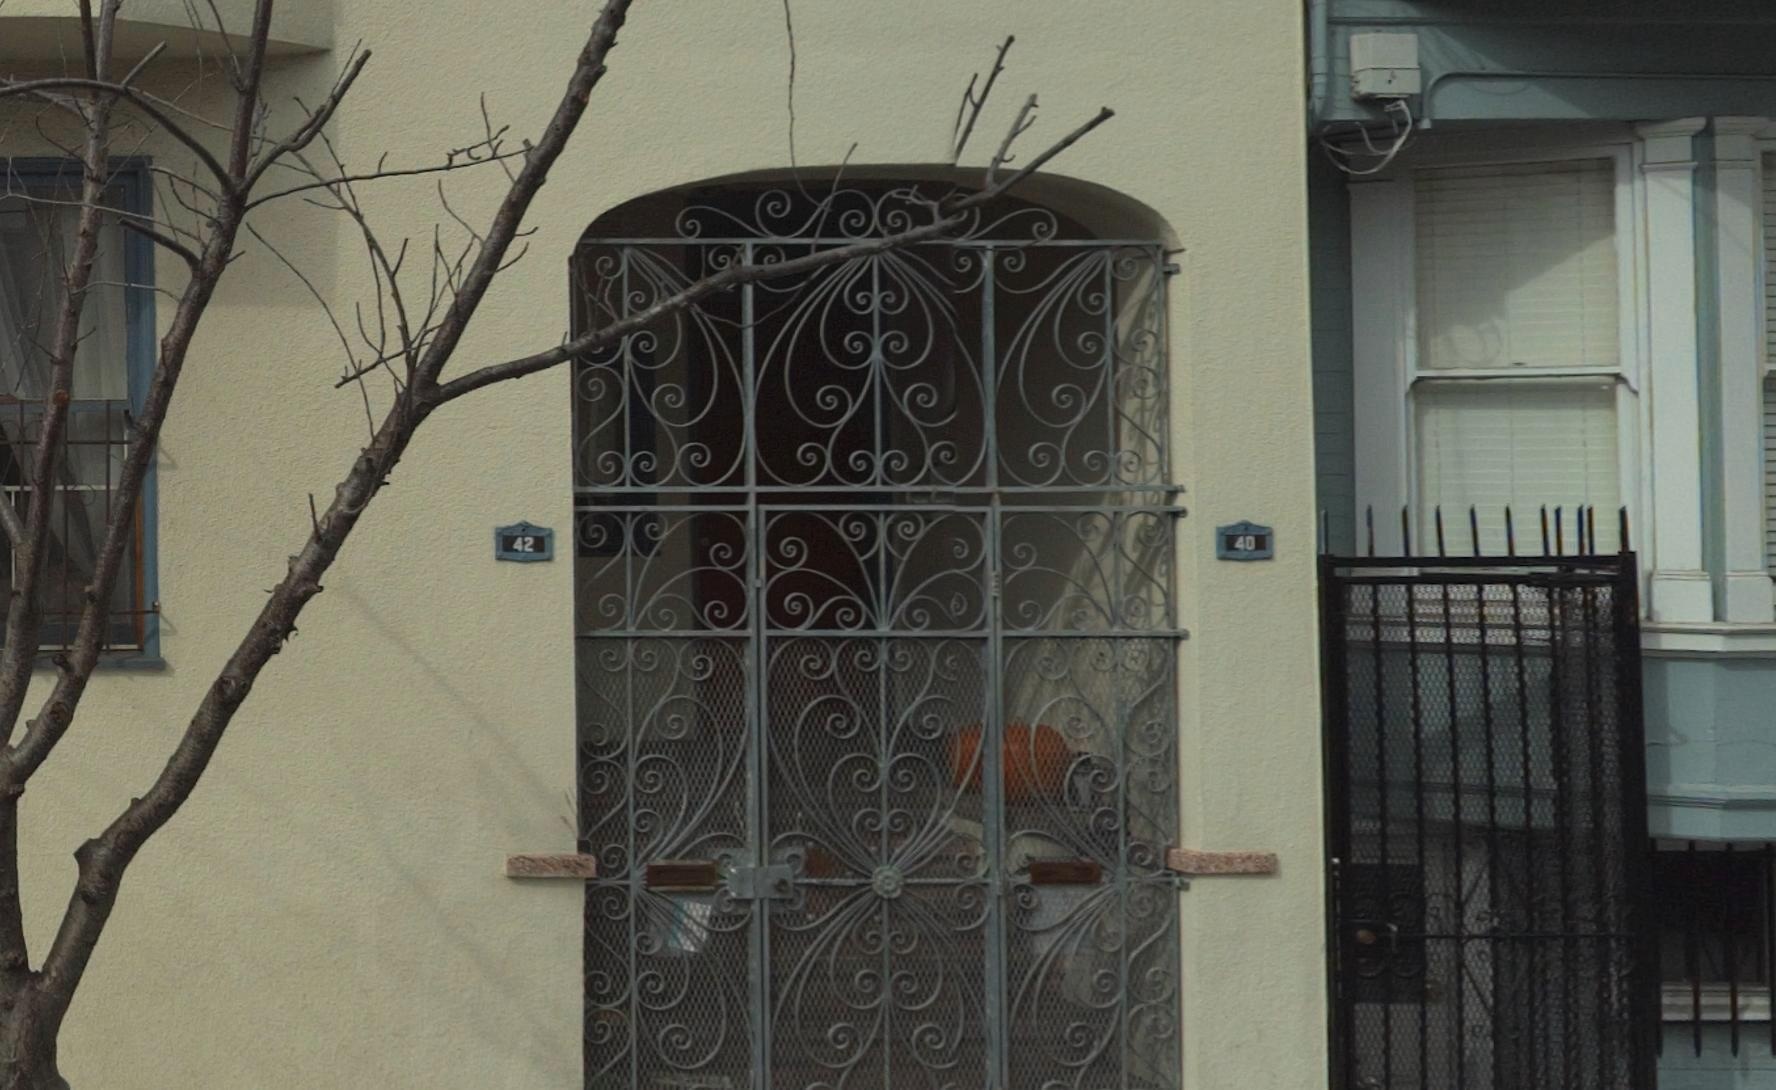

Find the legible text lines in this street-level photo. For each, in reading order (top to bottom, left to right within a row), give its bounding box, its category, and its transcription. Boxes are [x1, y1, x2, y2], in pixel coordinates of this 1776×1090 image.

[511, 535, 536, 554] StreetNumber: 42
[1232, 534, 1258, 553] StreetNumber: 40